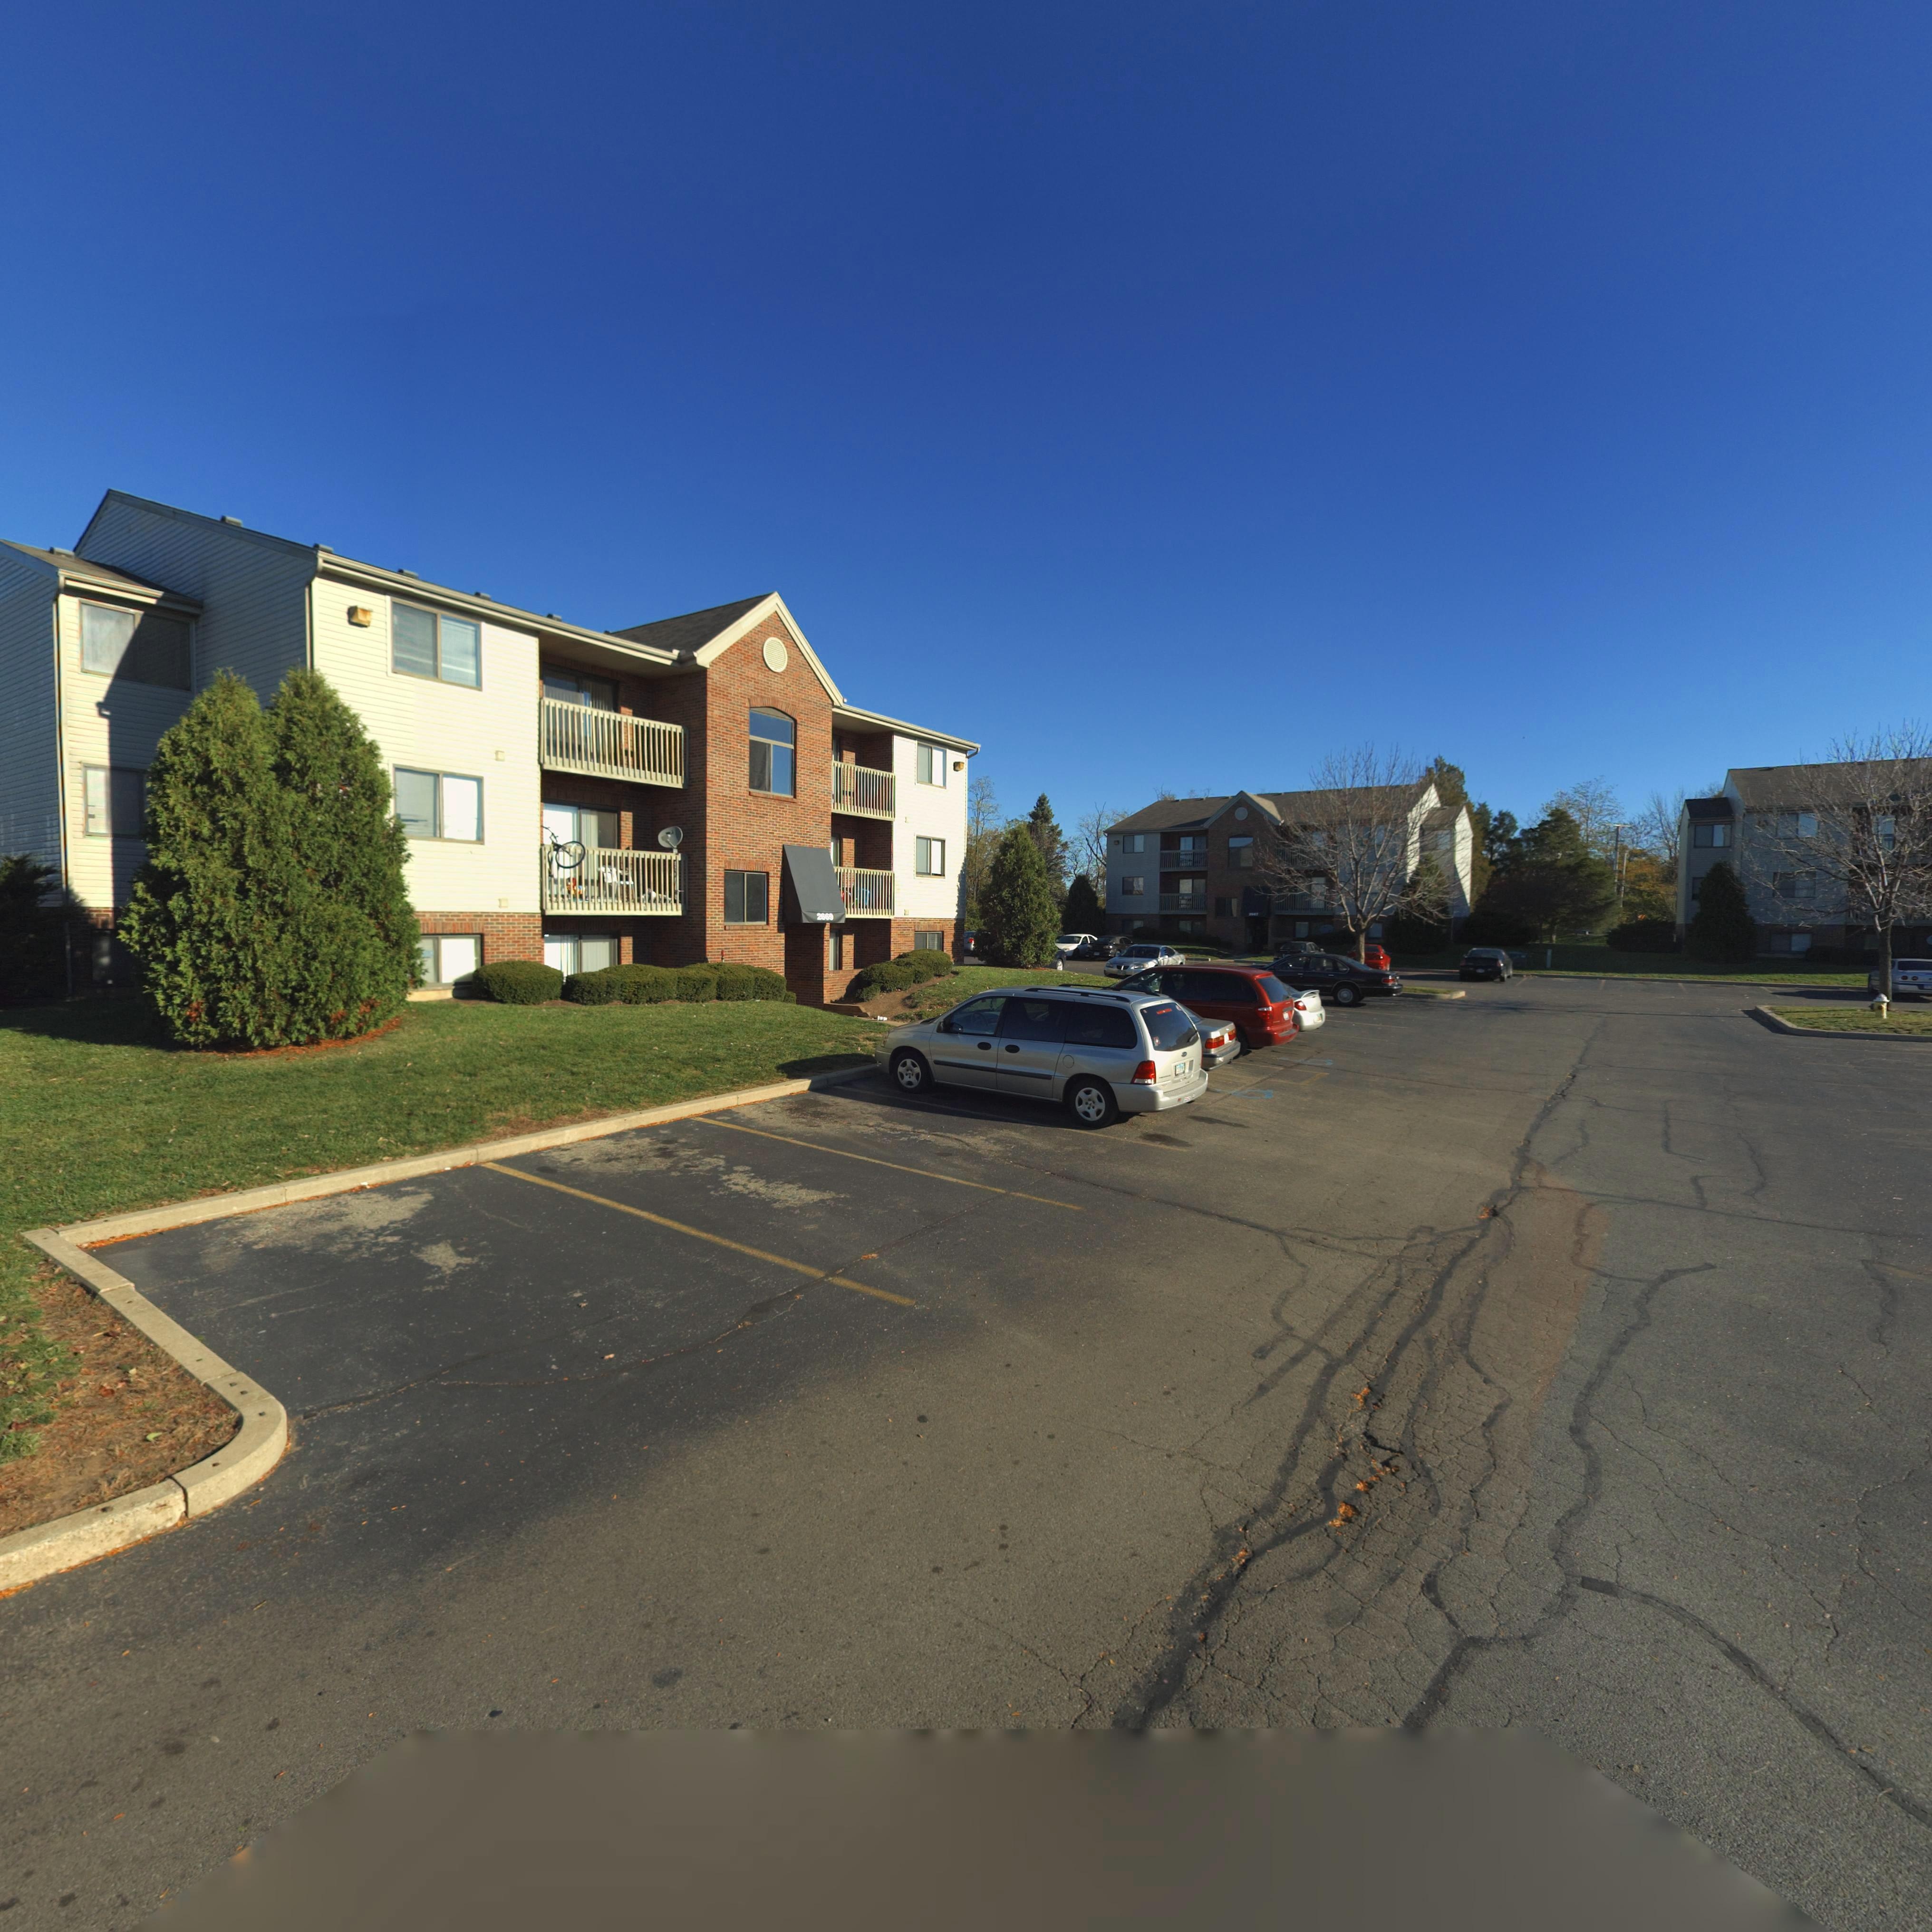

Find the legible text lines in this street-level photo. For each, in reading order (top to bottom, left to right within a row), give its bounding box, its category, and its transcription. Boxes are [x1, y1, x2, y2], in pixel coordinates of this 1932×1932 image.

[816, 912, 834, 921] StreetNumber: 2669
[1248, 912, 1259, 916] StreetNumber: 2**7